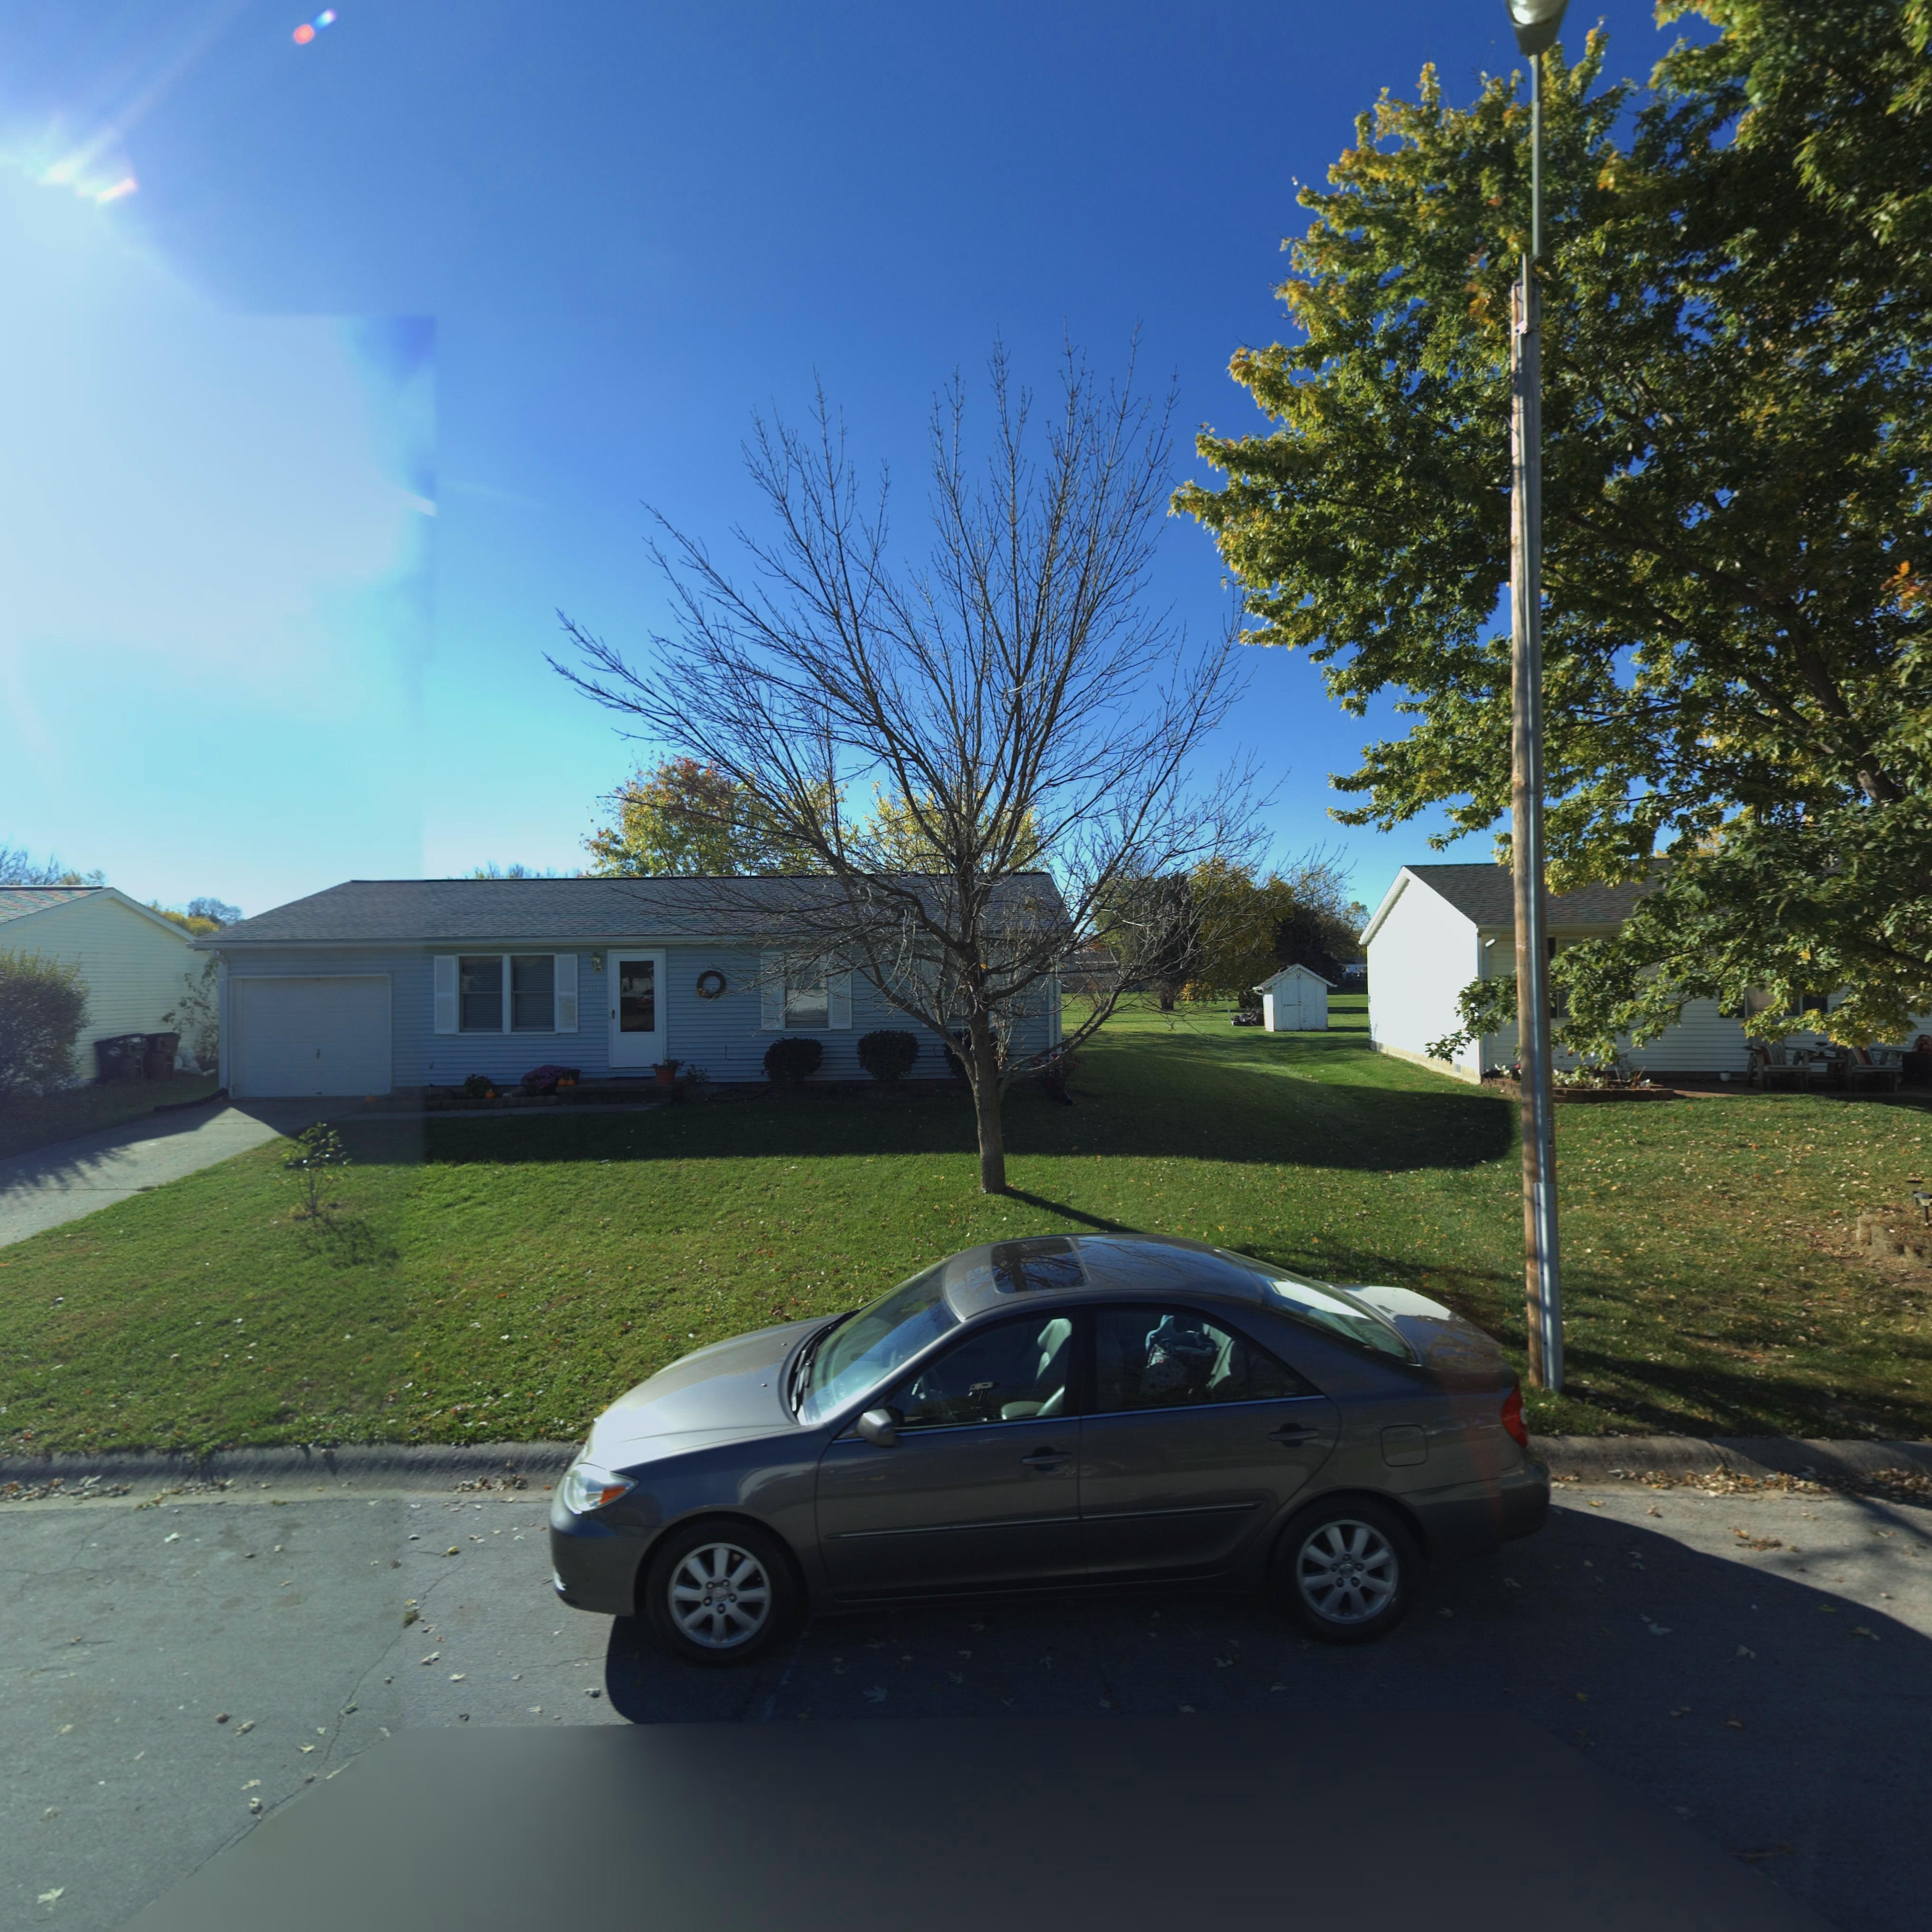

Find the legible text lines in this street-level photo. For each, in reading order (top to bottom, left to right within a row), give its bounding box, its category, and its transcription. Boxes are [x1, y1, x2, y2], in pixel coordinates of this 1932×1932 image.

[586, 985, 600, 993] StreetNumber: 10*